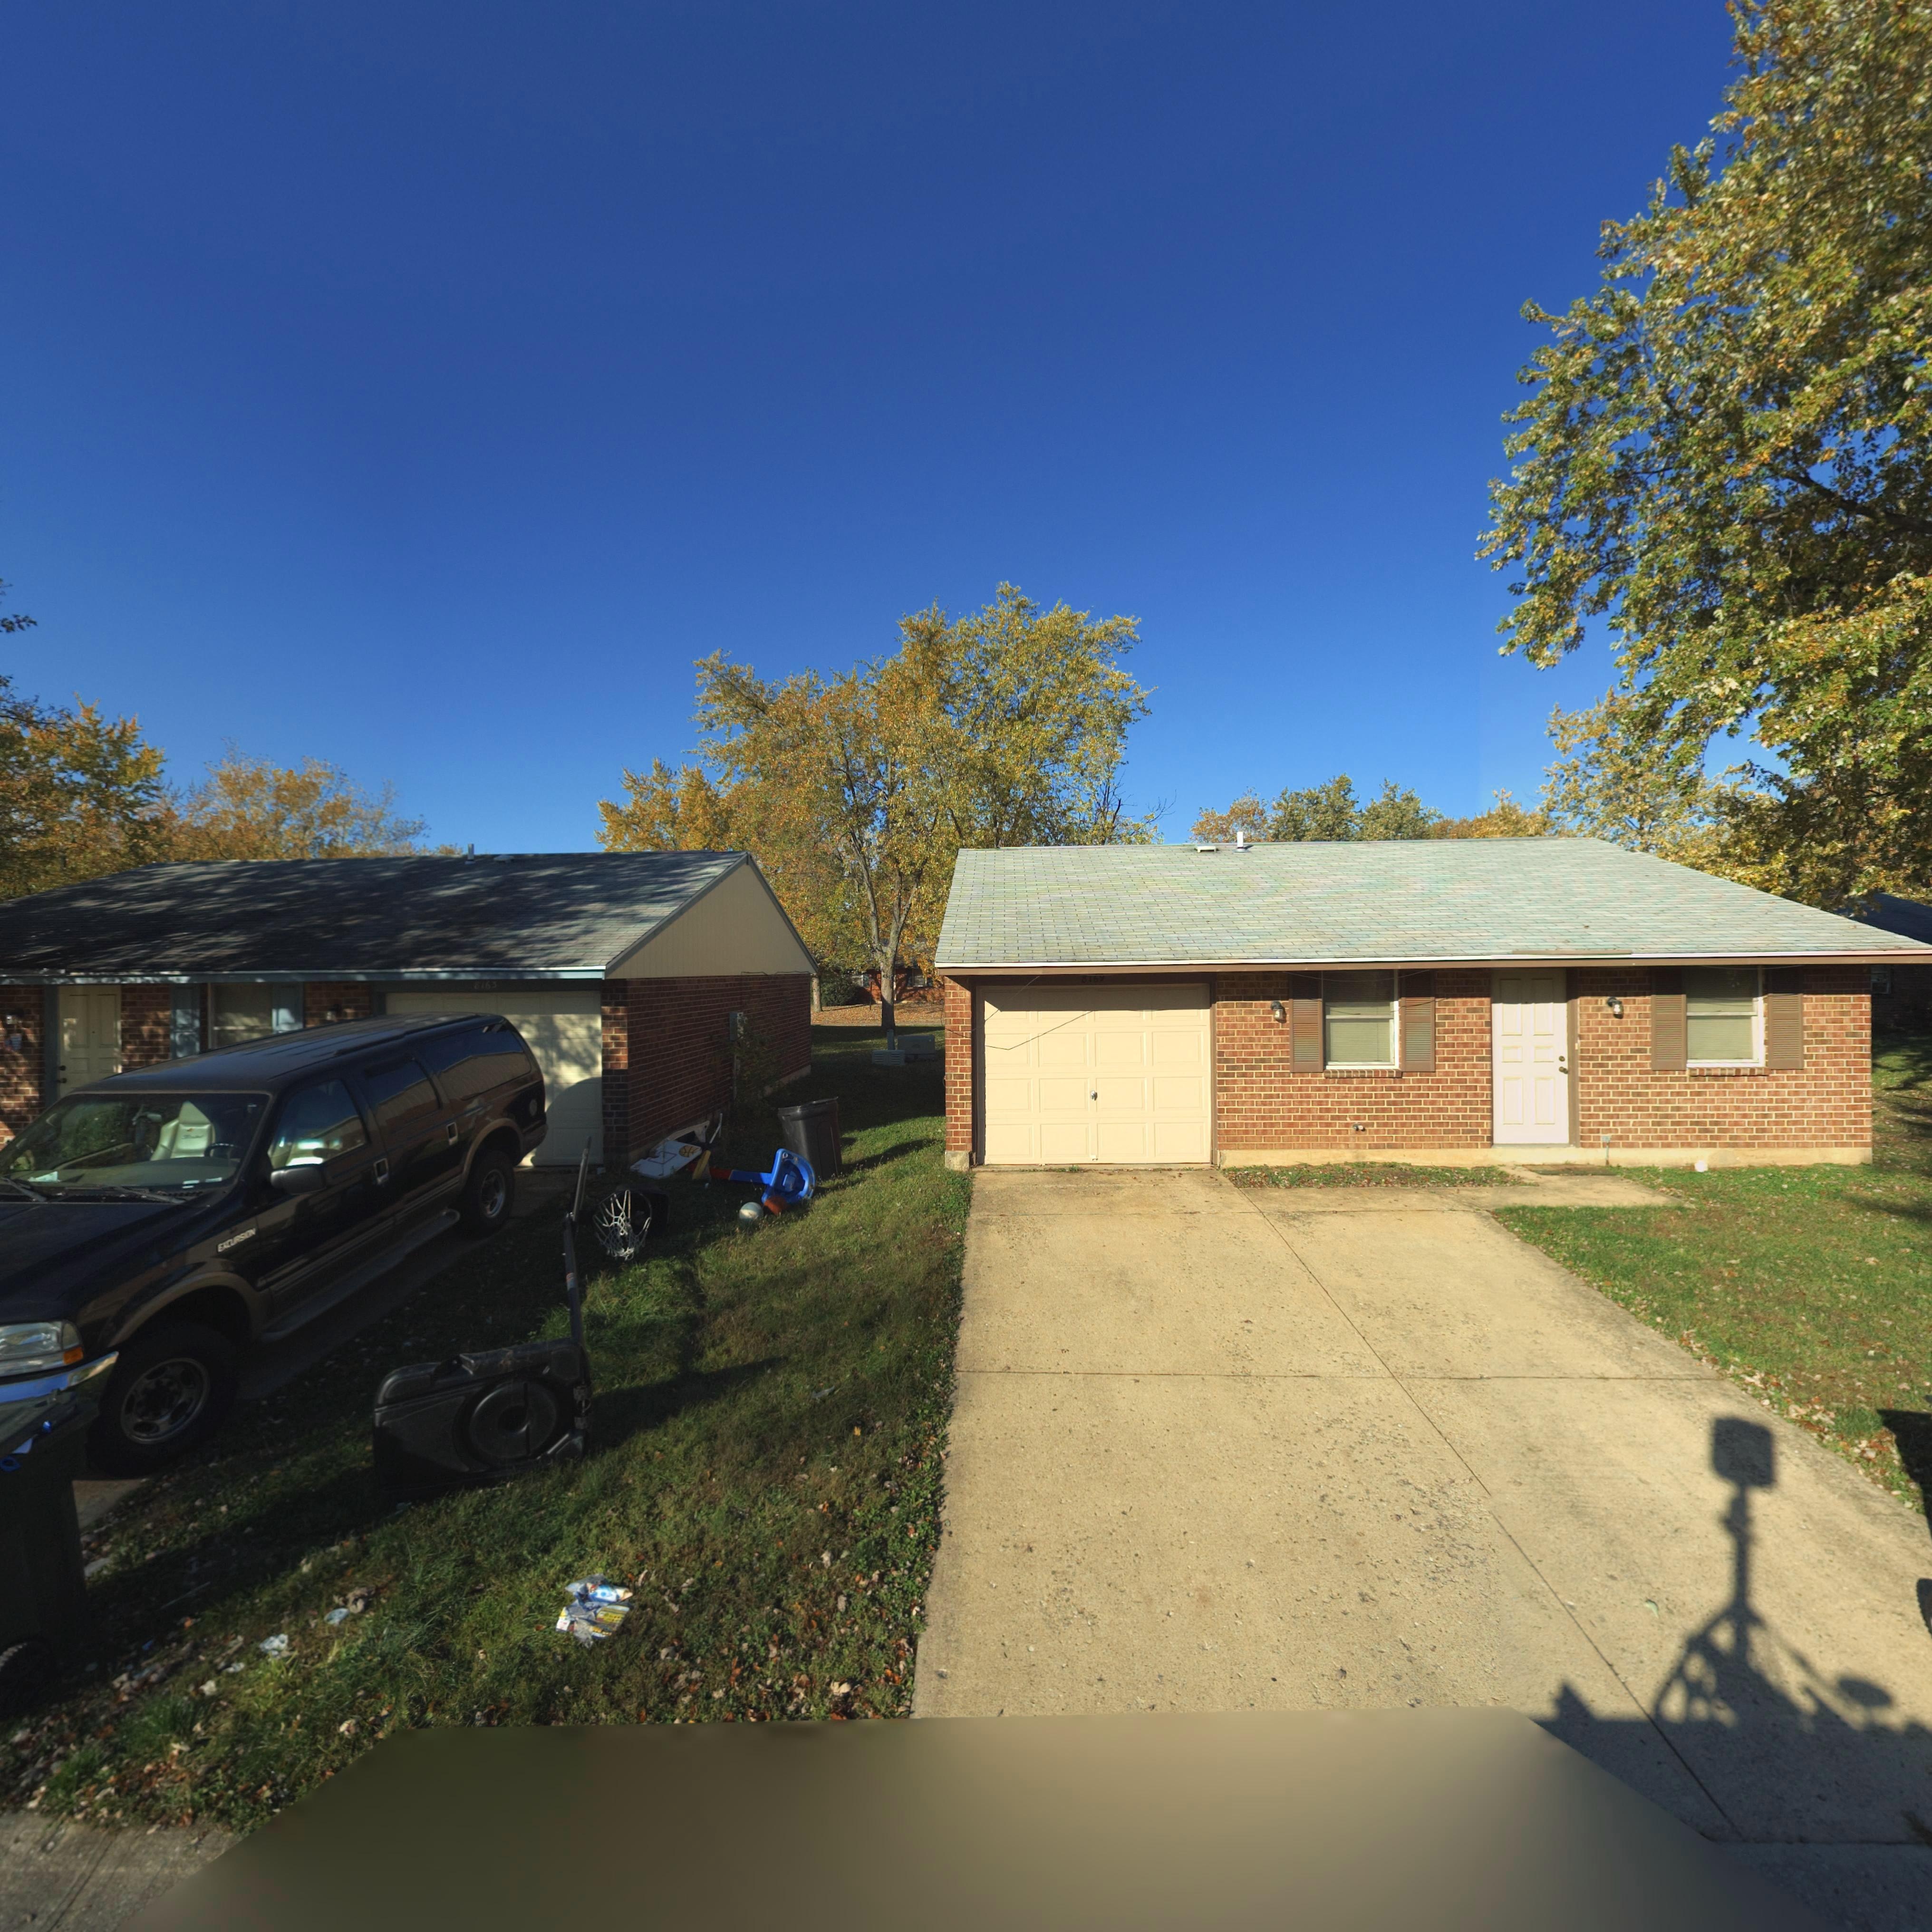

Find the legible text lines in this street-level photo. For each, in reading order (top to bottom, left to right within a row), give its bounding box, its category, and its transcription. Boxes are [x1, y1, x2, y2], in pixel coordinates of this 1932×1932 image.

[1081, 973, 1105, 984] StreetNumber: 816*
[473, 980, 498, 991] StreetNumber: 816*